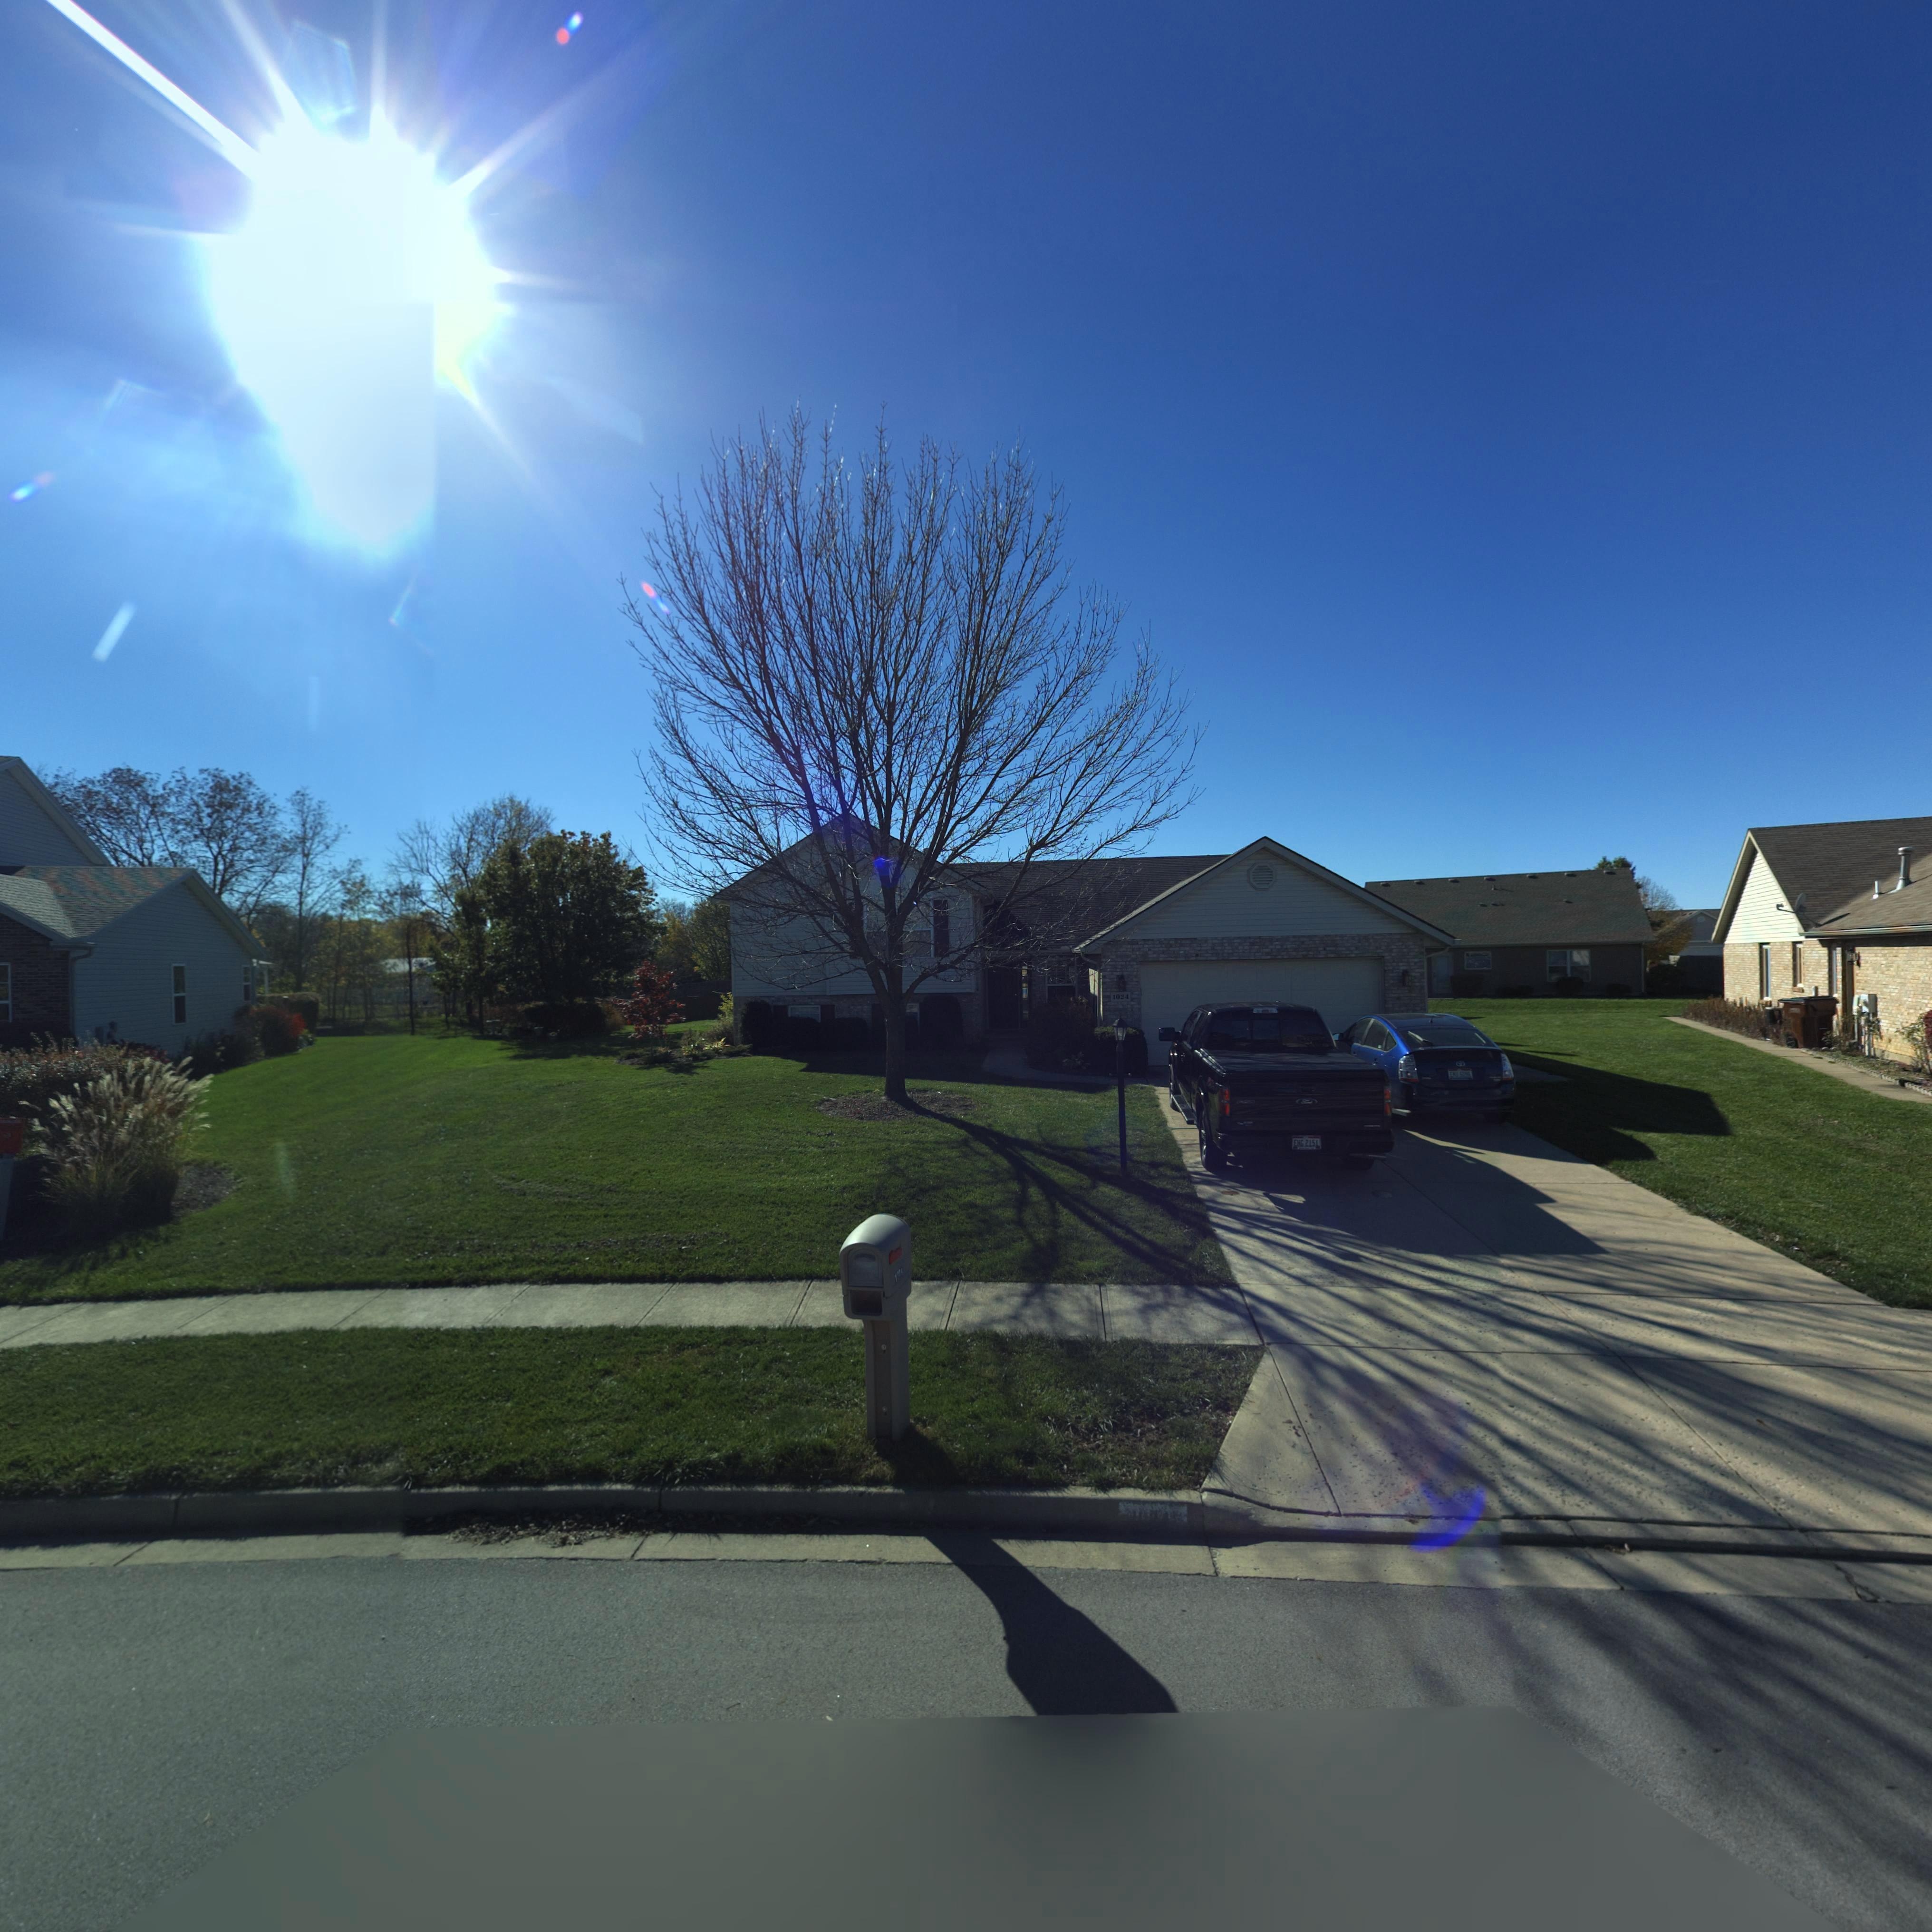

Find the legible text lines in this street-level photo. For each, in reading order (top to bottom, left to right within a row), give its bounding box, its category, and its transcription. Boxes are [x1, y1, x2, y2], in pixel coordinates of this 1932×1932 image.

[1112, 993, 1130, 1001] StreetNumber: 1024